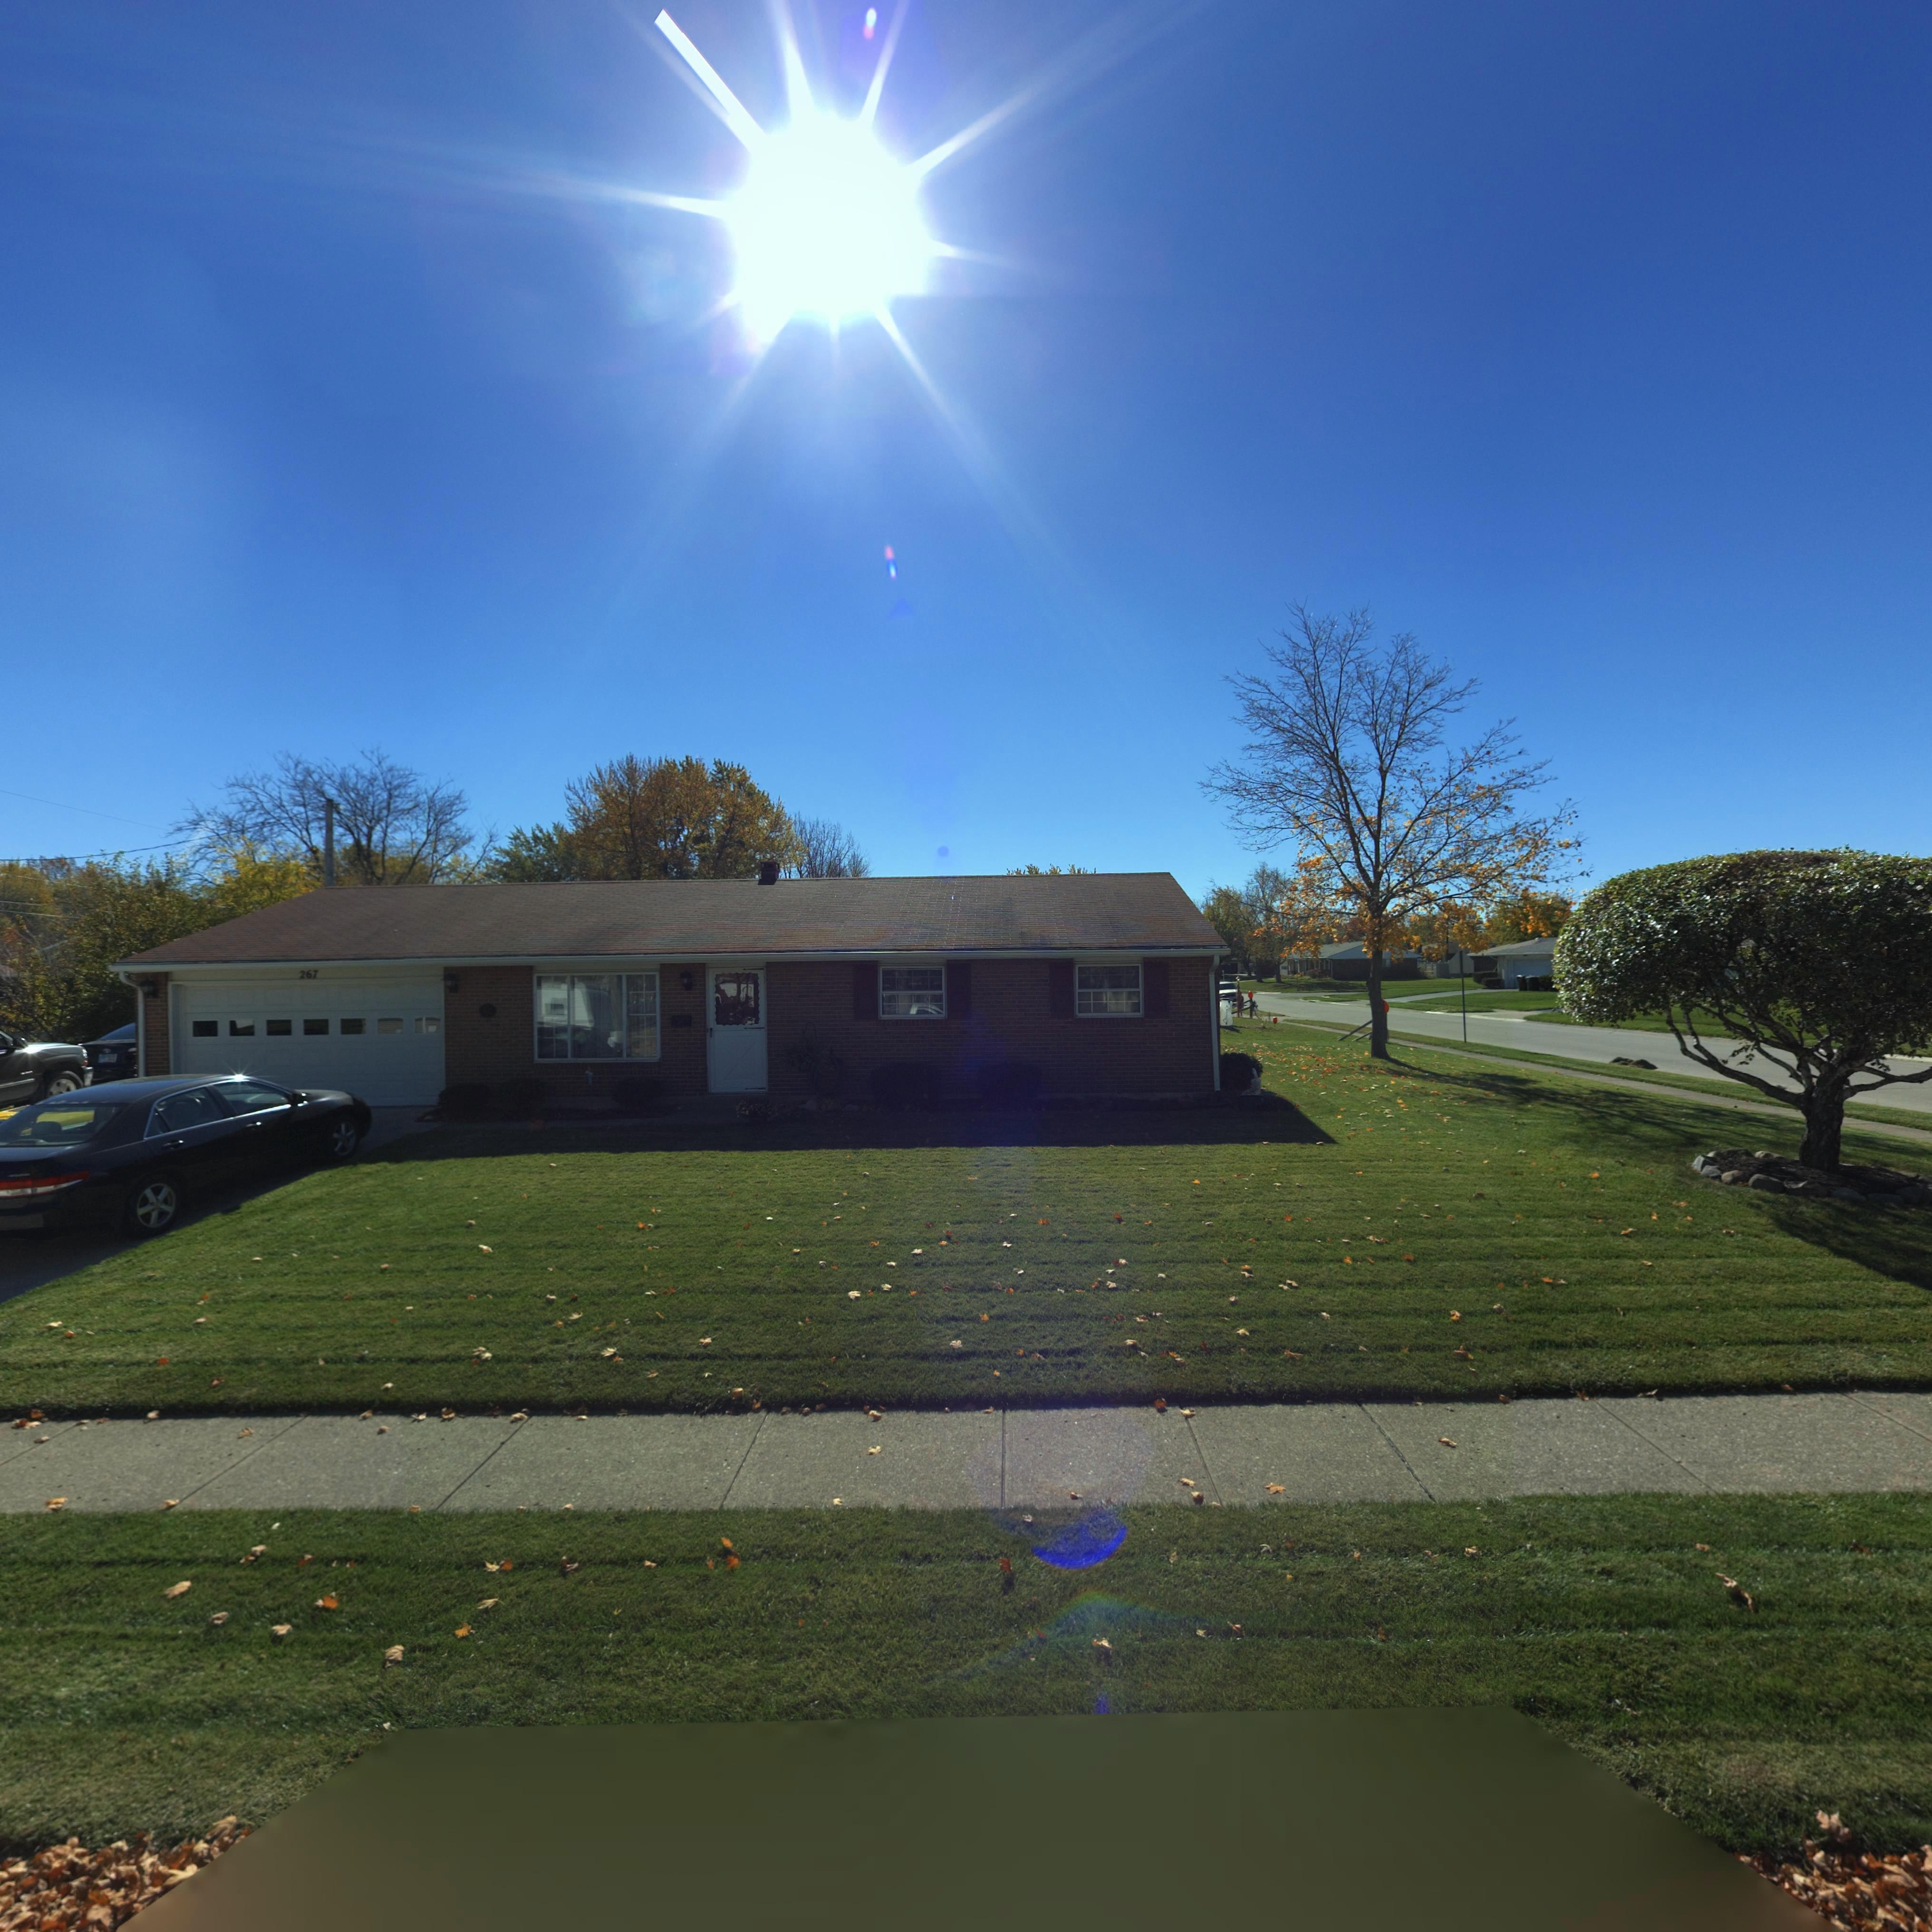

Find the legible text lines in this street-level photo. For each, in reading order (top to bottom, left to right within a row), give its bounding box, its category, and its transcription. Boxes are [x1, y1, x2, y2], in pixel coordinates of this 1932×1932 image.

[298, 969, 319, 979] StreetNumber: 267